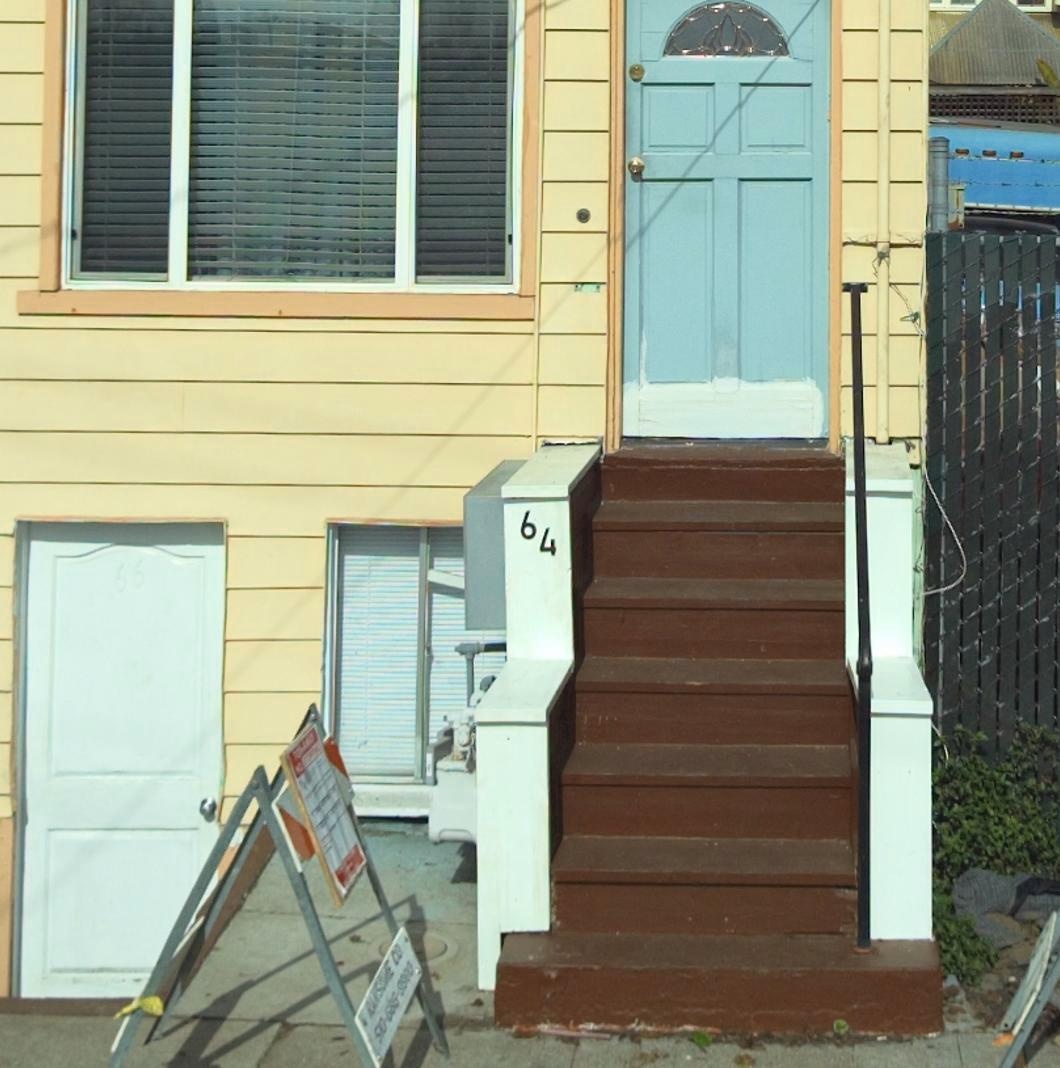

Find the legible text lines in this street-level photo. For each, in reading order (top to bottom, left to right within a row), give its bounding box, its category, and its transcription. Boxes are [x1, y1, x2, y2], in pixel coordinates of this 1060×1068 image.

[514, 499, 560, 567] StreetNumber: 64
[380, 951, 398, 987] None: E